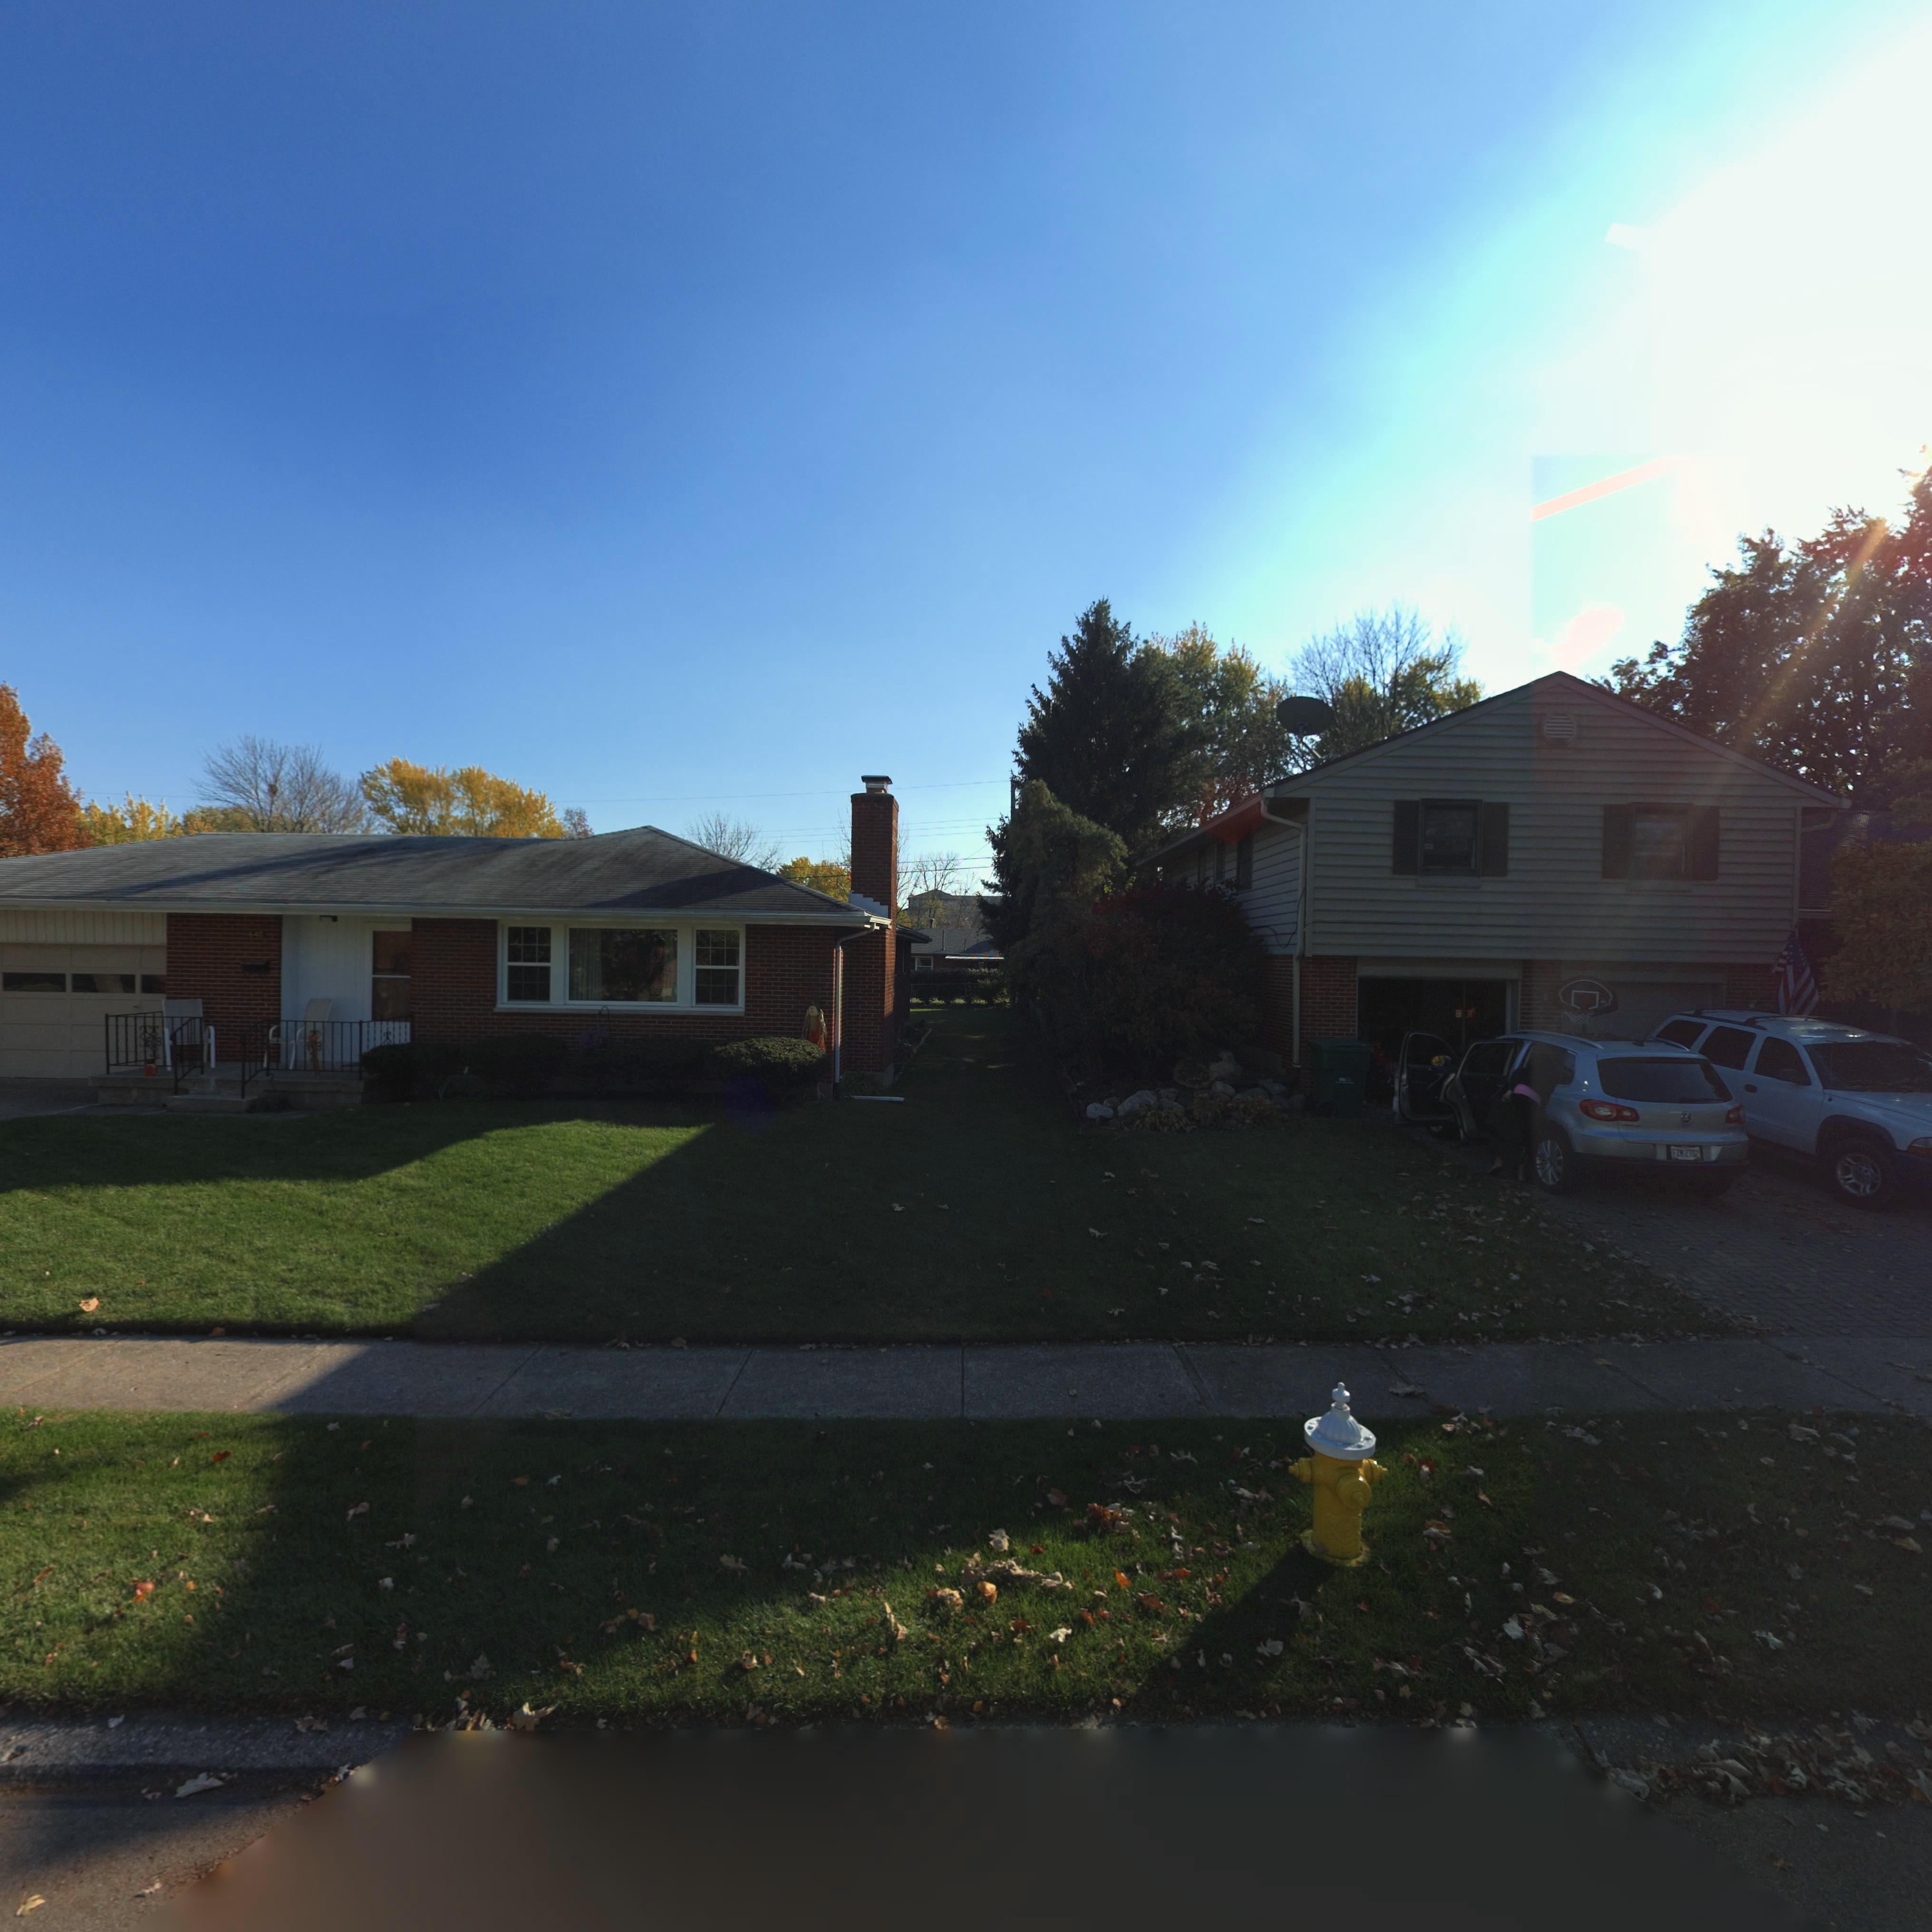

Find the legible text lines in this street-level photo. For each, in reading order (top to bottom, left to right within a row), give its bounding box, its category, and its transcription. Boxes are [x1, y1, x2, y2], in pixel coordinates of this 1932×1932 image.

[247, 930, 264, 938] StreetNumber: 640